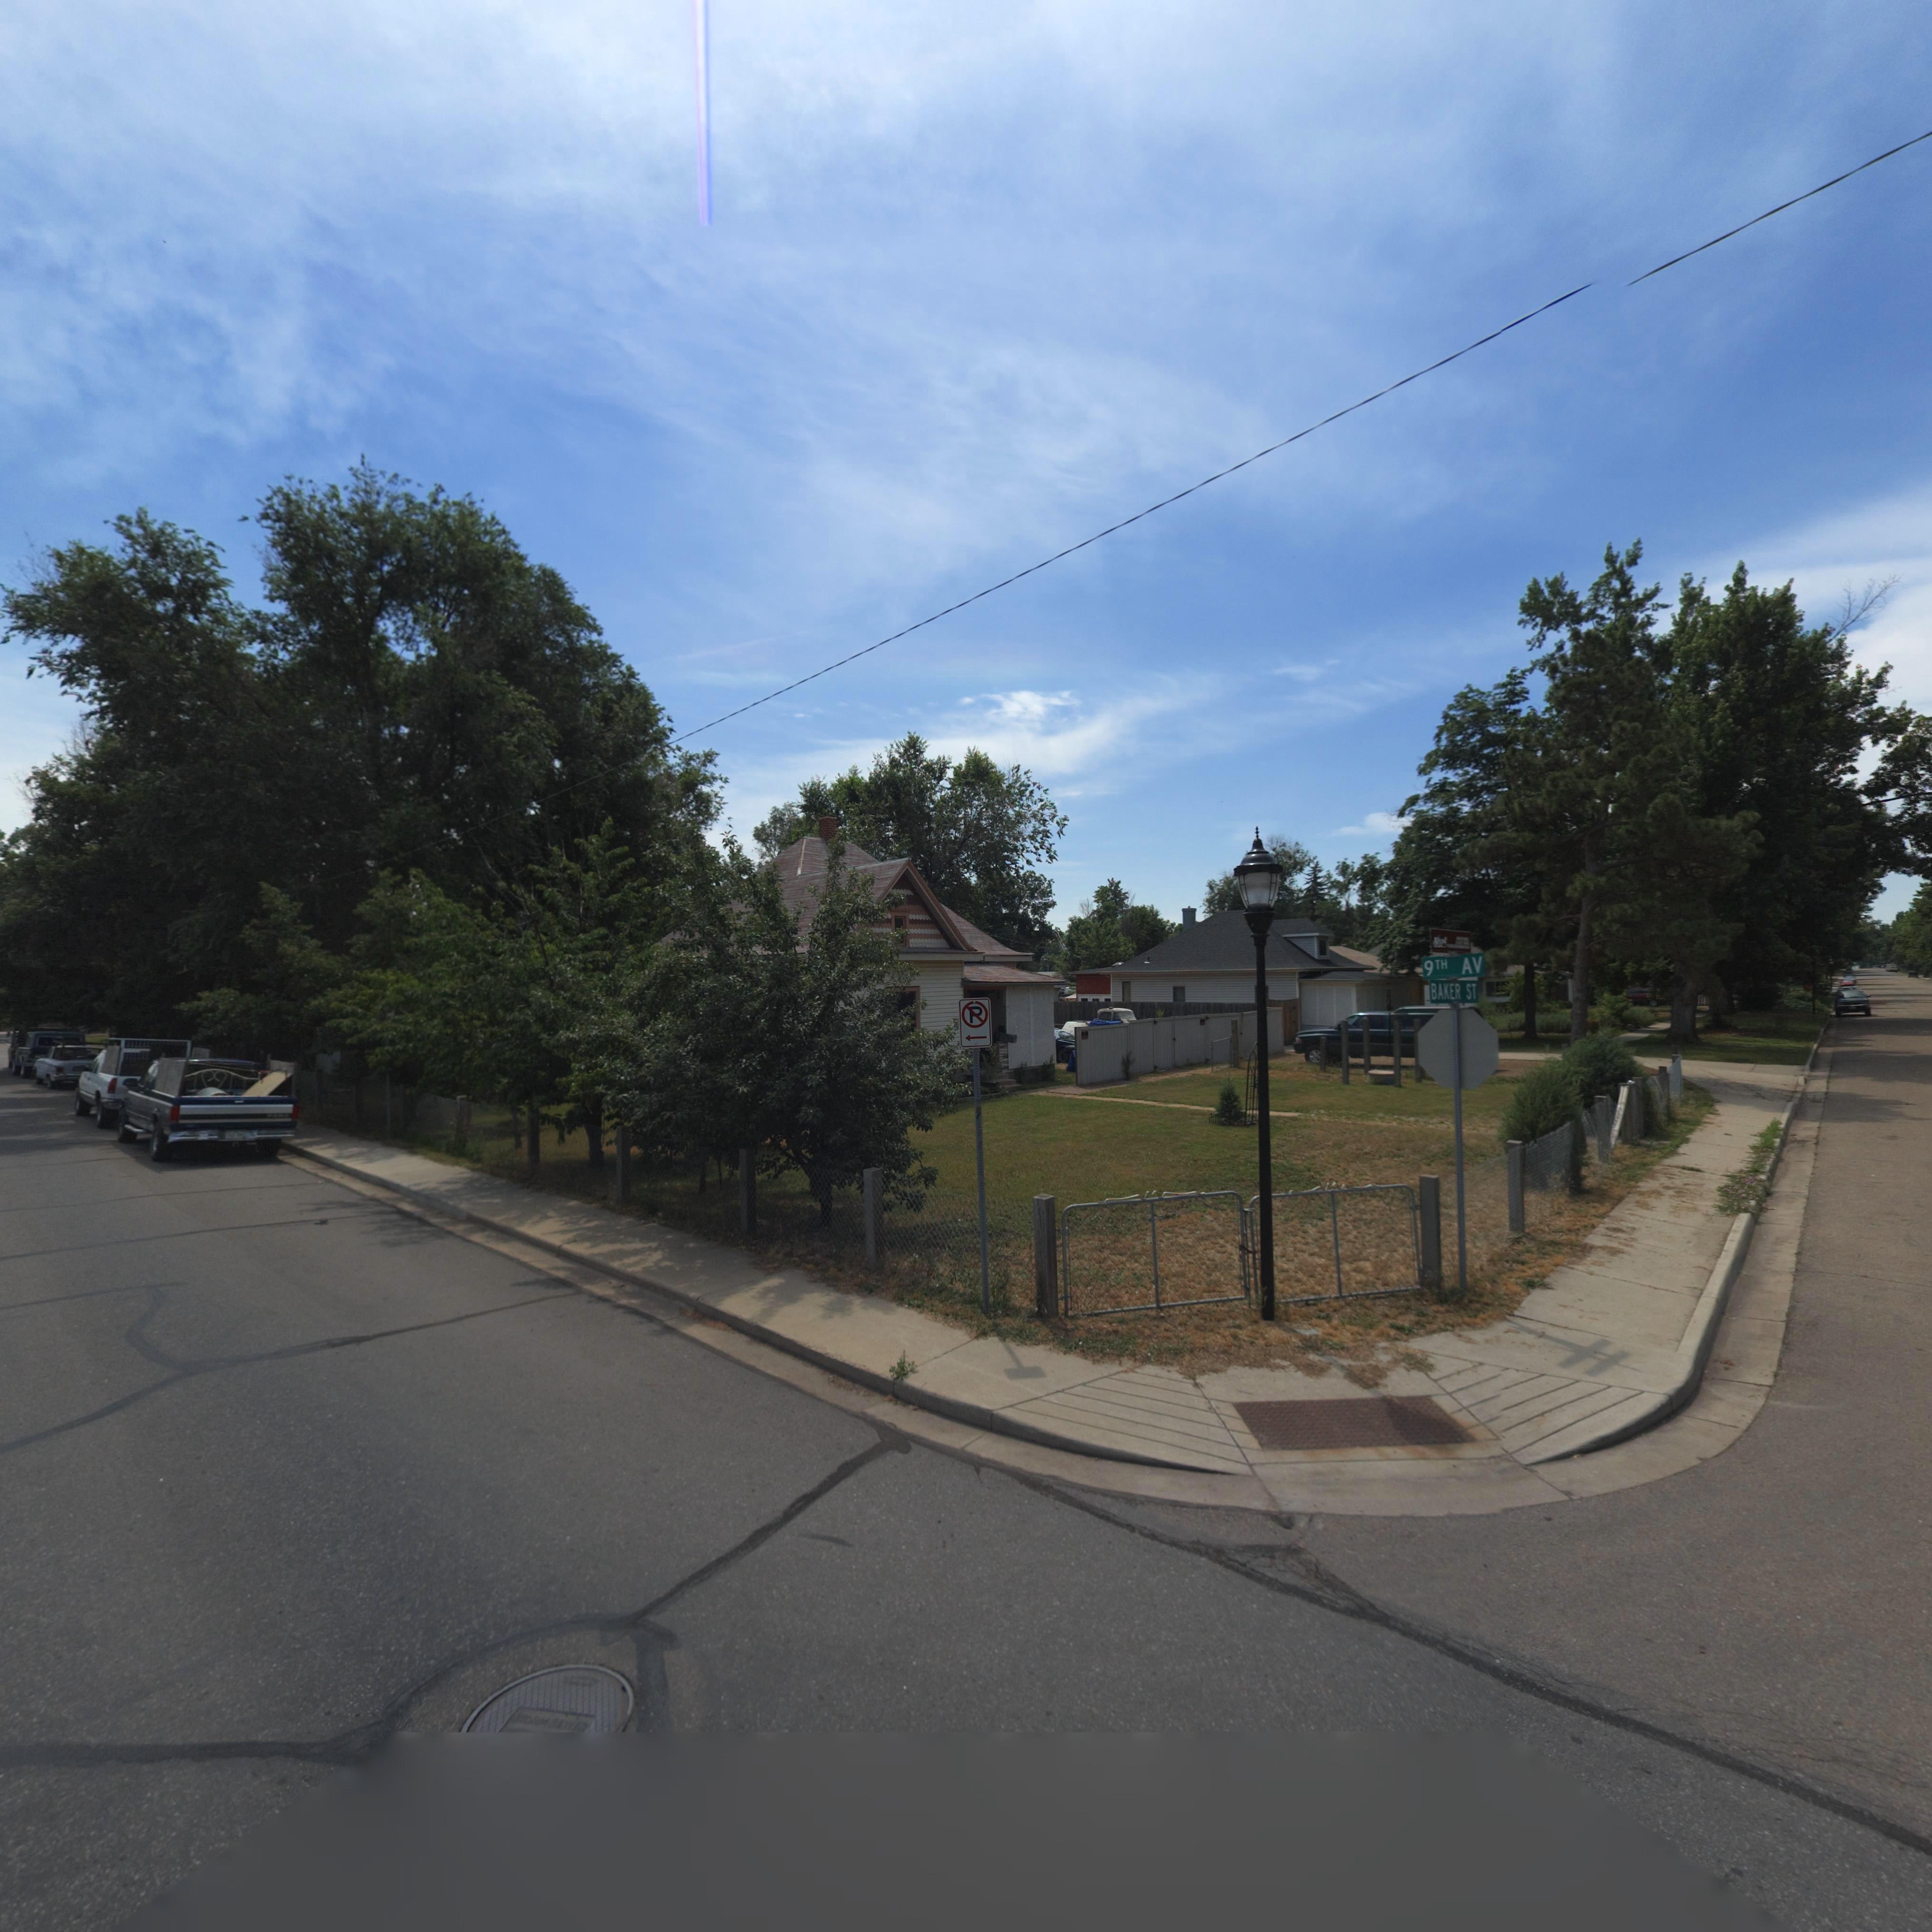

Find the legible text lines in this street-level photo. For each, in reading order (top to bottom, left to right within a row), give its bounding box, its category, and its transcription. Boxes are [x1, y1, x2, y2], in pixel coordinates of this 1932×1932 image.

[1423, 956, 1483, 977] StreetName: 9TH AV
[1431, 983, 1477, 1000] StreetName: BAKER ST